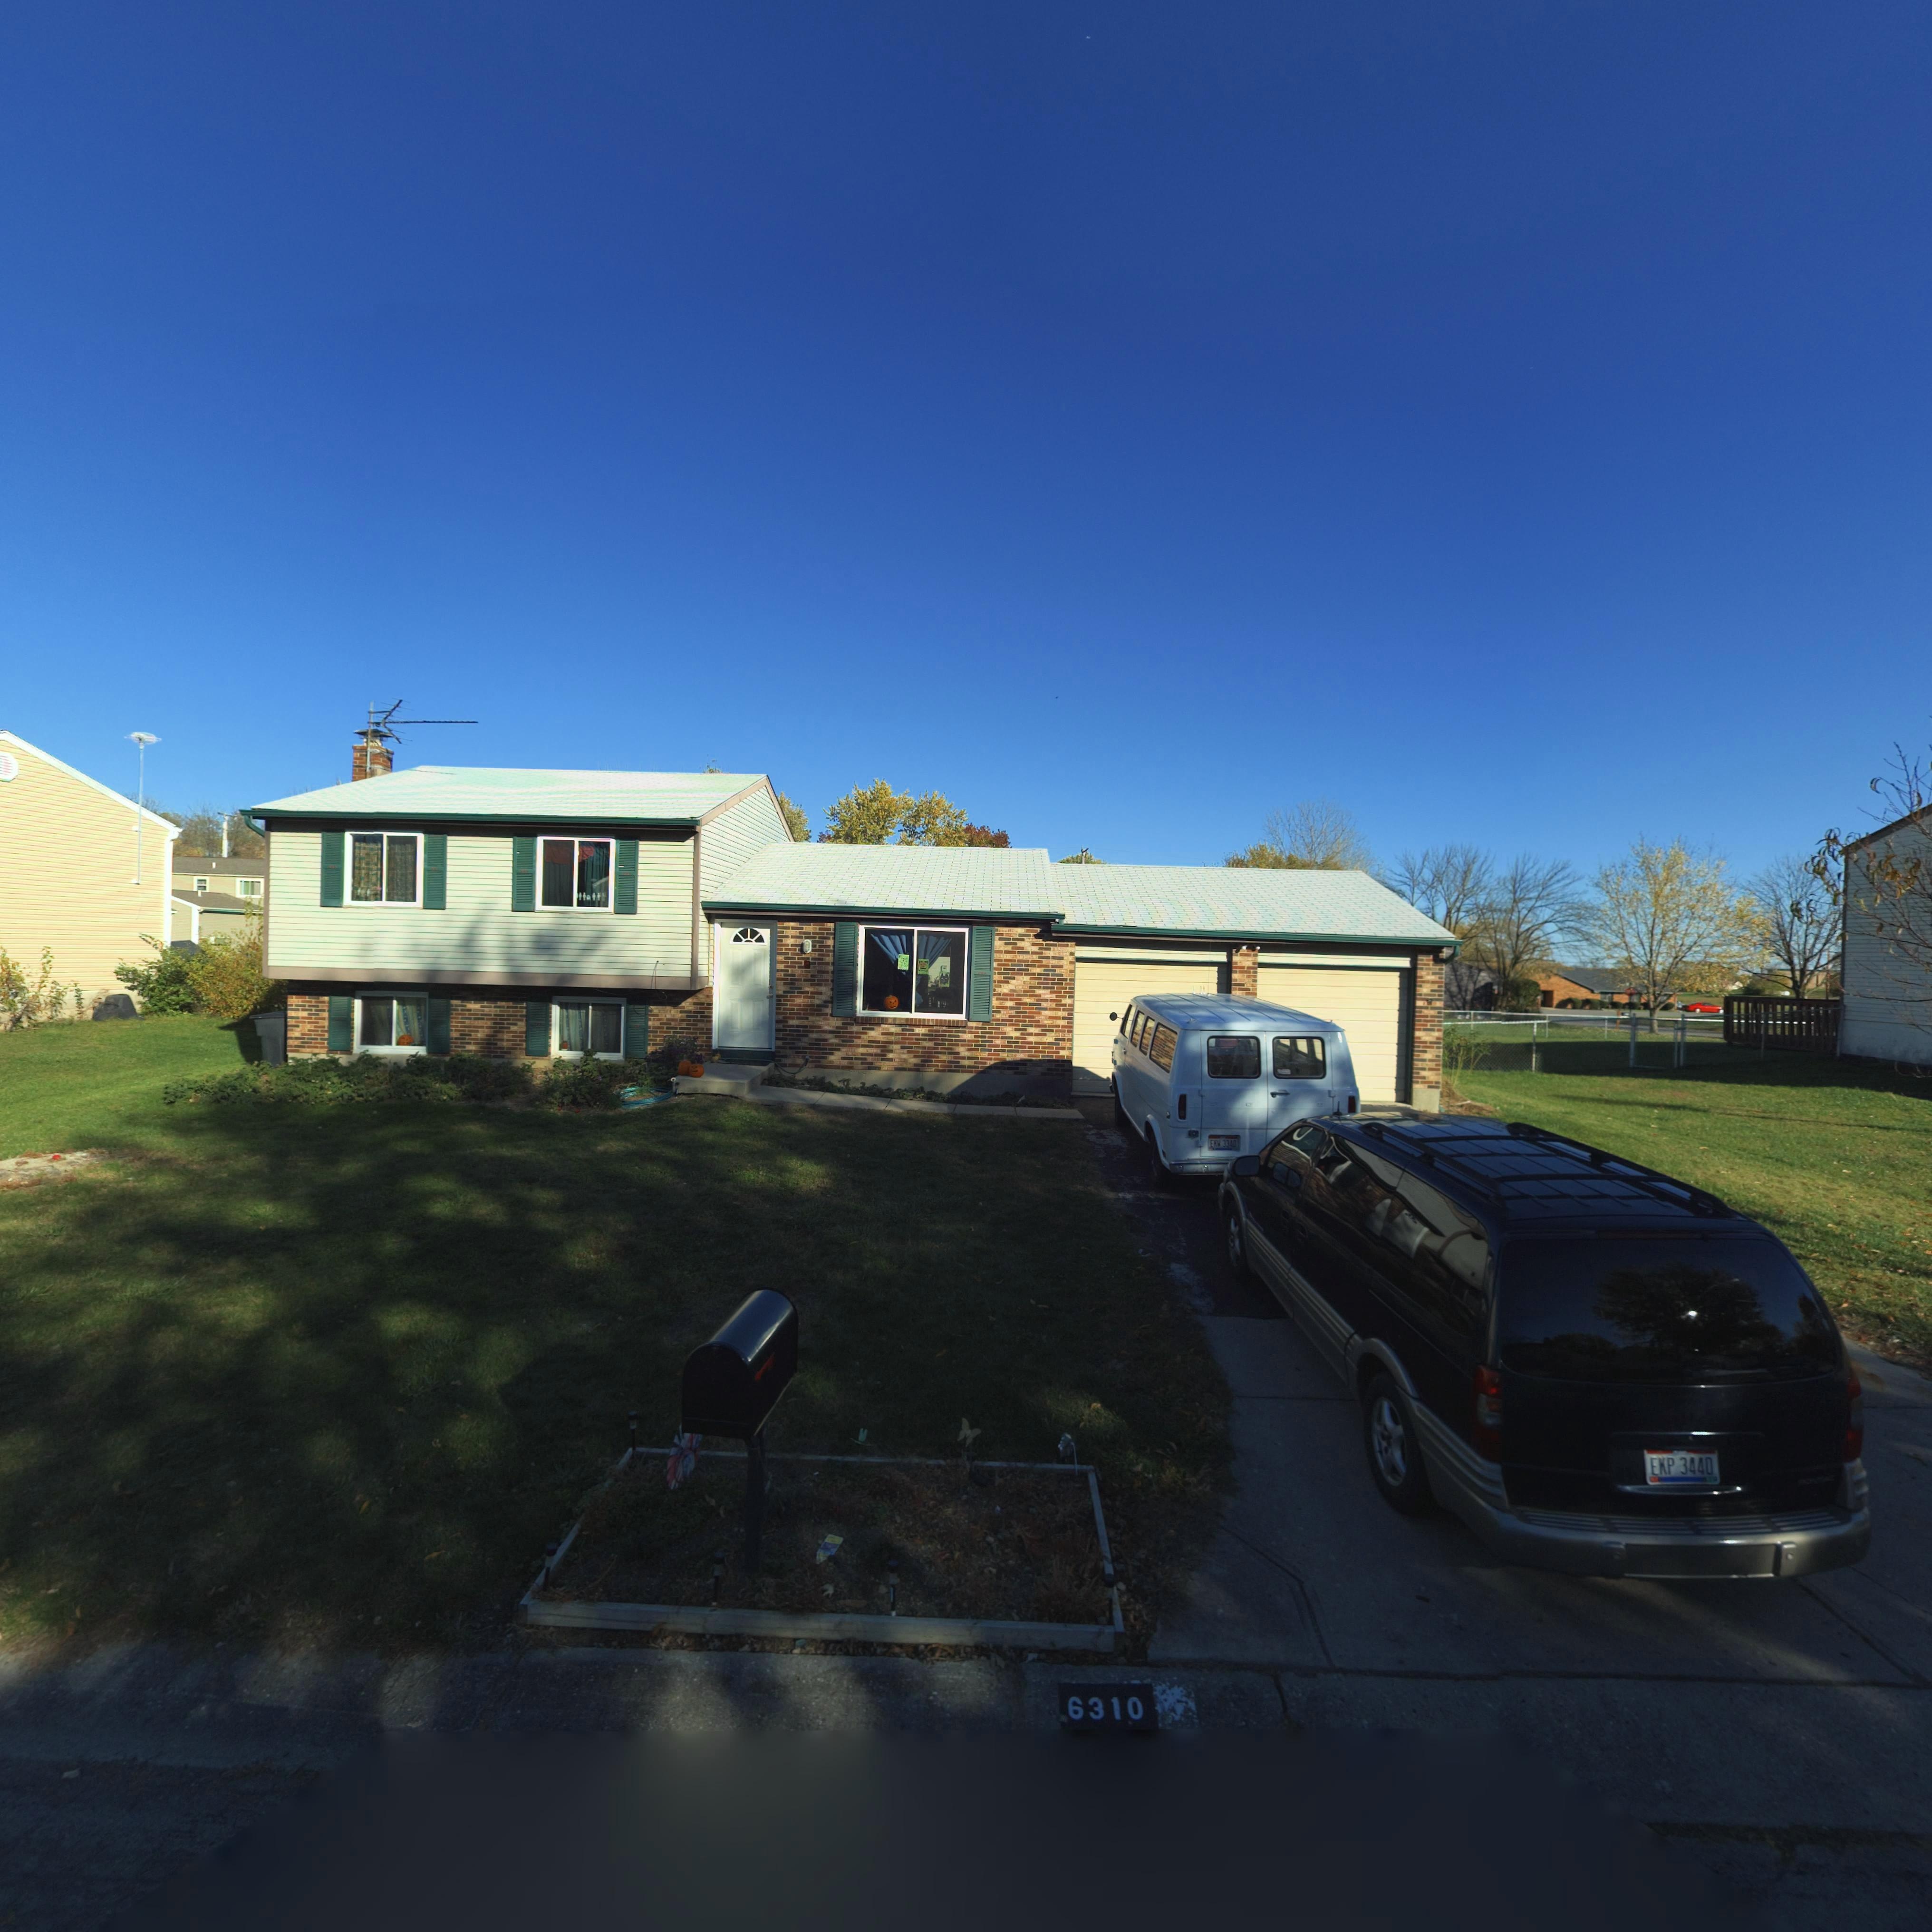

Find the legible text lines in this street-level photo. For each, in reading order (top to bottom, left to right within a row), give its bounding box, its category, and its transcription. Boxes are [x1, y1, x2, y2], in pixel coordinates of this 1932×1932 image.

[1065, 1693, 1146, 1723] StreetNumber: 6310